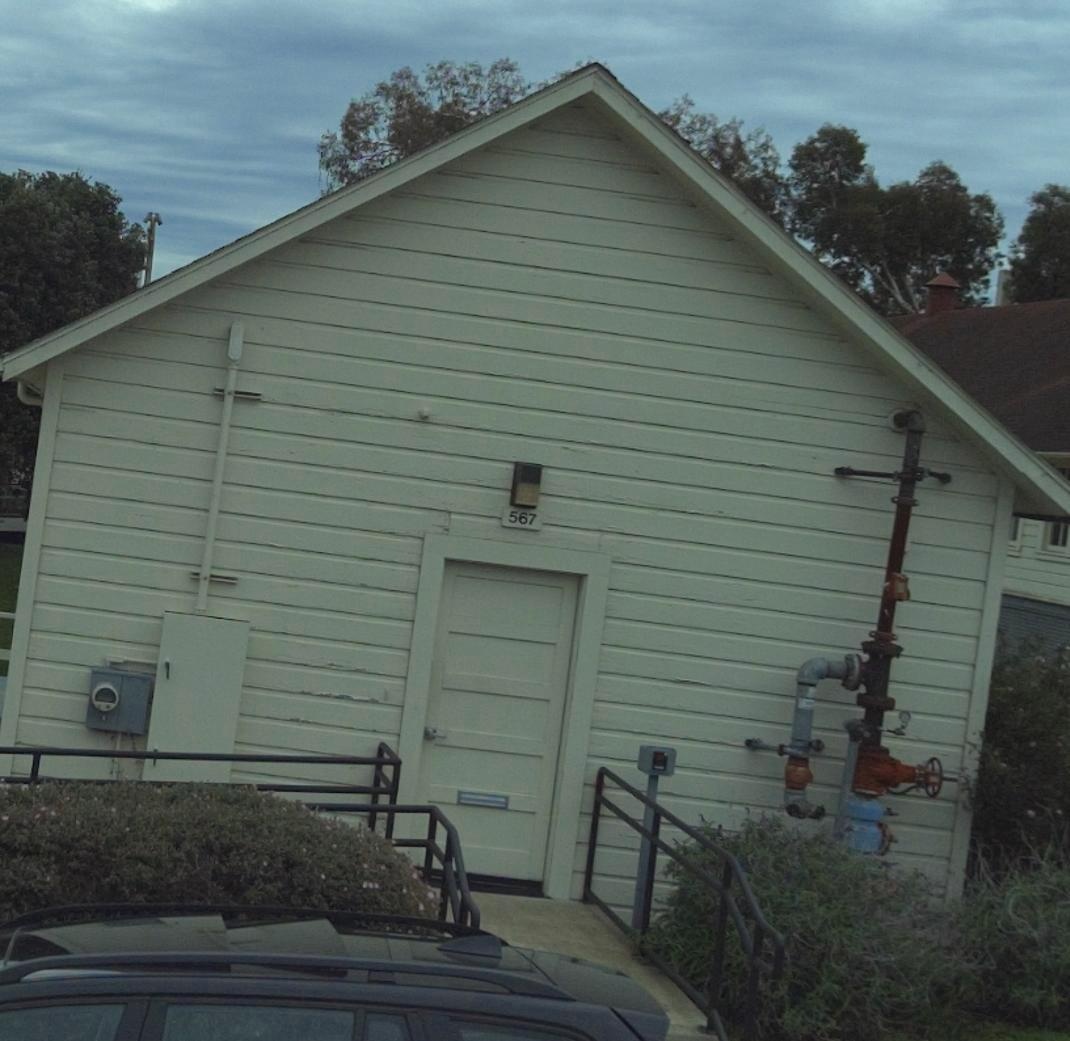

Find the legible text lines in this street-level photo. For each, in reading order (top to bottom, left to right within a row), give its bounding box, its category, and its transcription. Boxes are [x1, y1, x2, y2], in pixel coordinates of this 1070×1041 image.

[505, 509, 541, 527] StreetNumber: 567